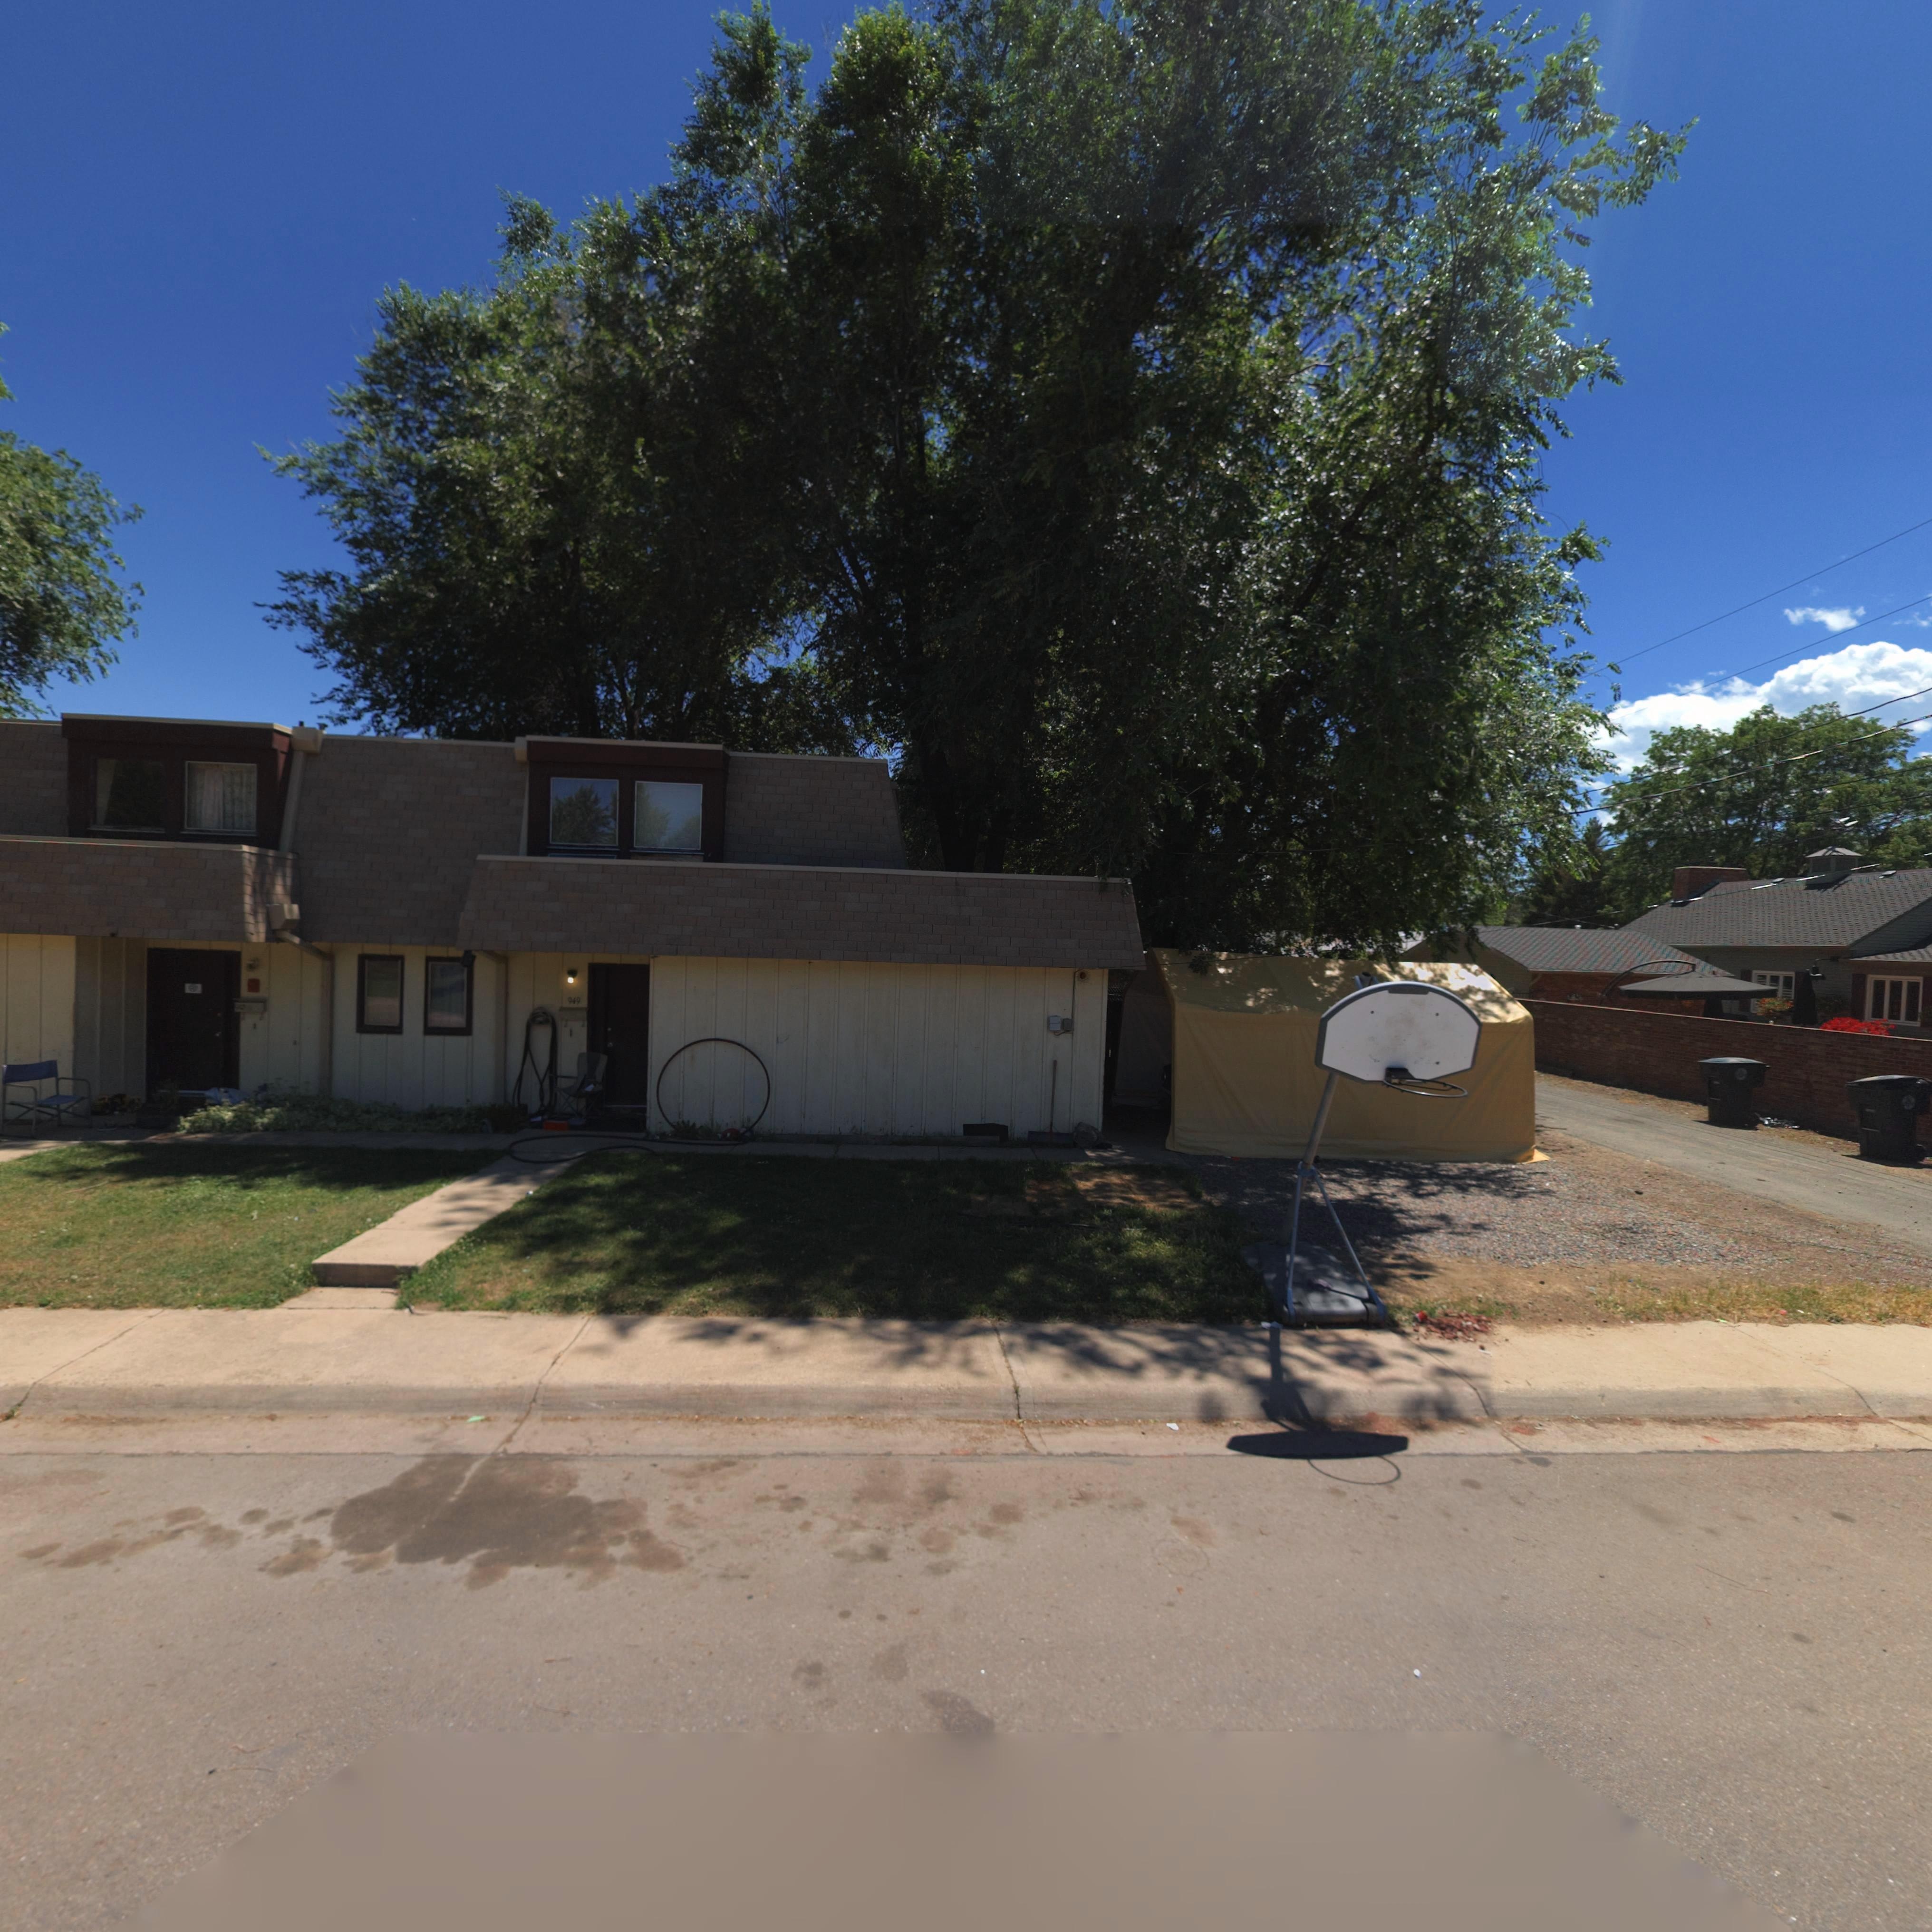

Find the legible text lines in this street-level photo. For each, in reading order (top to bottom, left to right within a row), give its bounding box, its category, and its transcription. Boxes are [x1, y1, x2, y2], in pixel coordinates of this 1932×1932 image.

[567, 996, 580, 1005] StreetNumber: 949